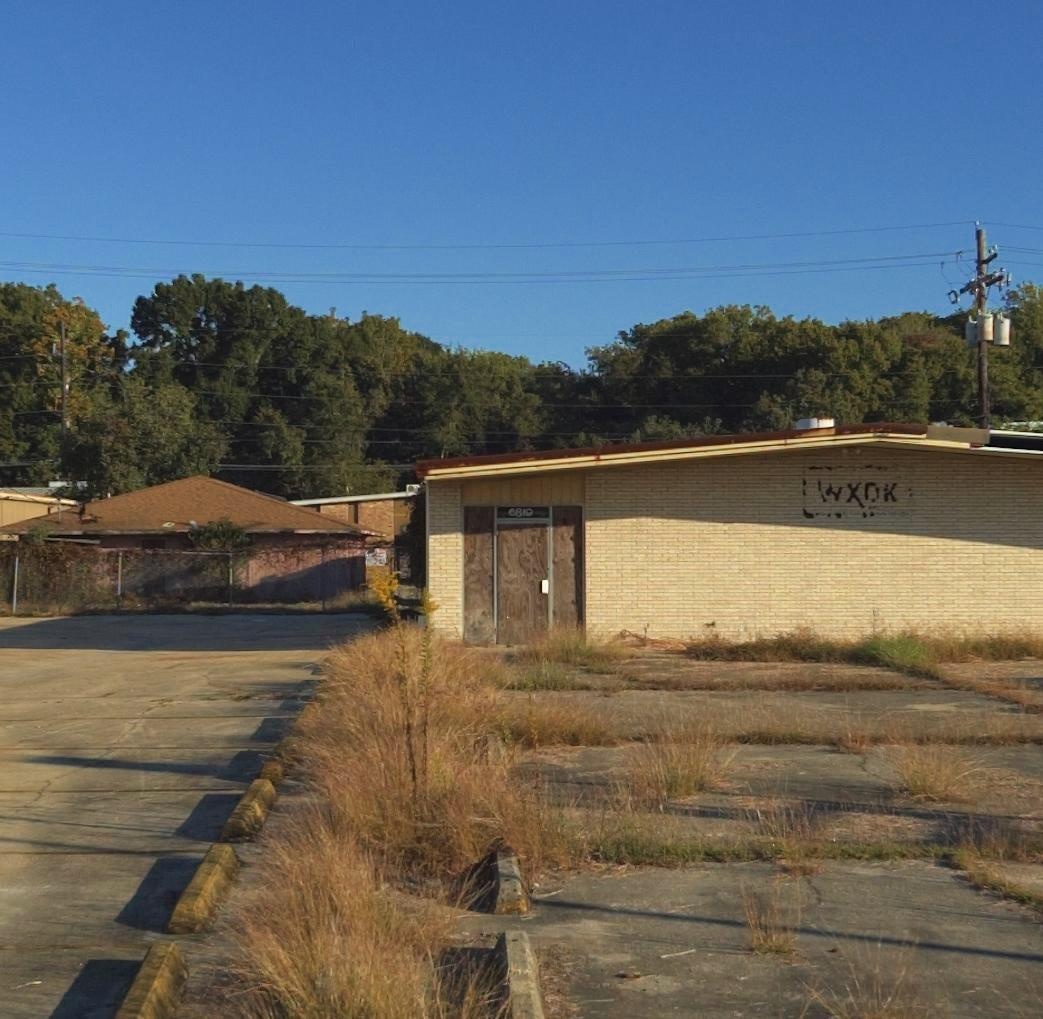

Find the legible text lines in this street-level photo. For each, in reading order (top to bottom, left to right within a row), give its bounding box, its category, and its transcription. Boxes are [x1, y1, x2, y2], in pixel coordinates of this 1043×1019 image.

[843, 480, 901, 511] None: X*K
[506, 506, 535, 519] StreetNumber: 6819